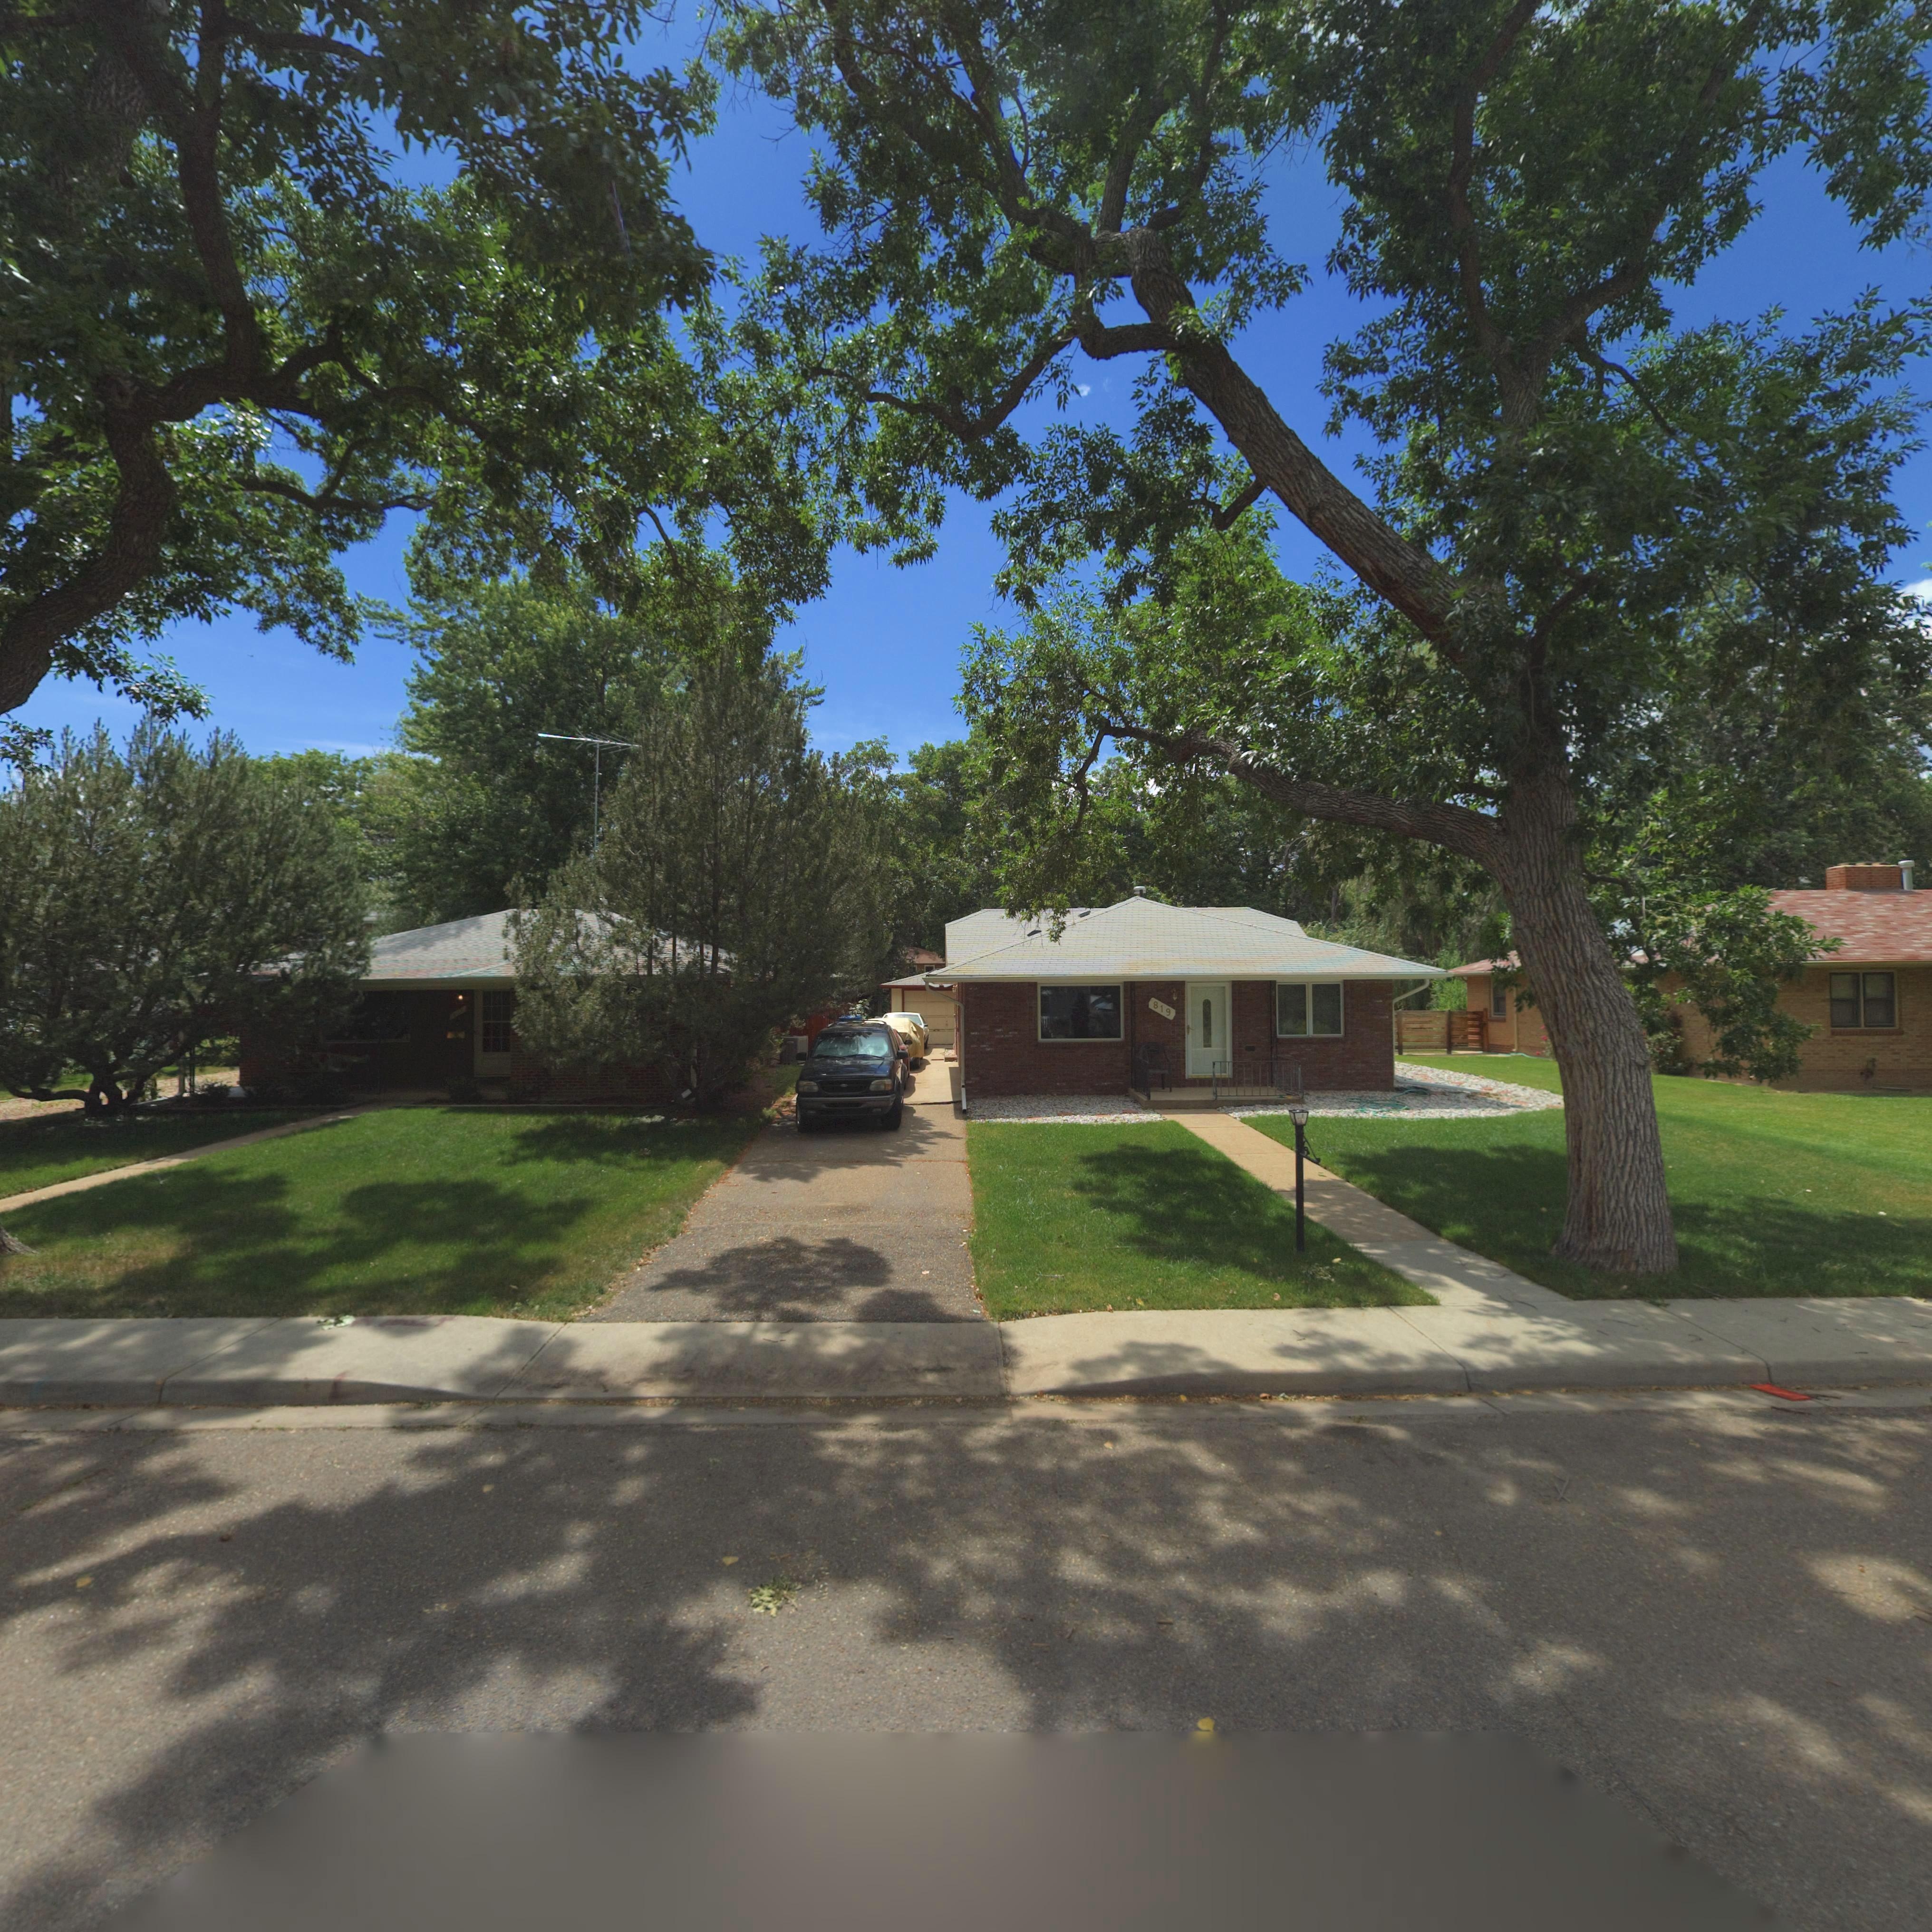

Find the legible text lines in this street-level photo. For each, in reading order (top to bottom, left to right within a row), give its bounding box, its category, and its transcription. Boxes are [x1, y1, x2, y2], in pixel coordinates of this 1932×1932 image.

[1152, 1000, 1171, 1016] StreetNumber: 819